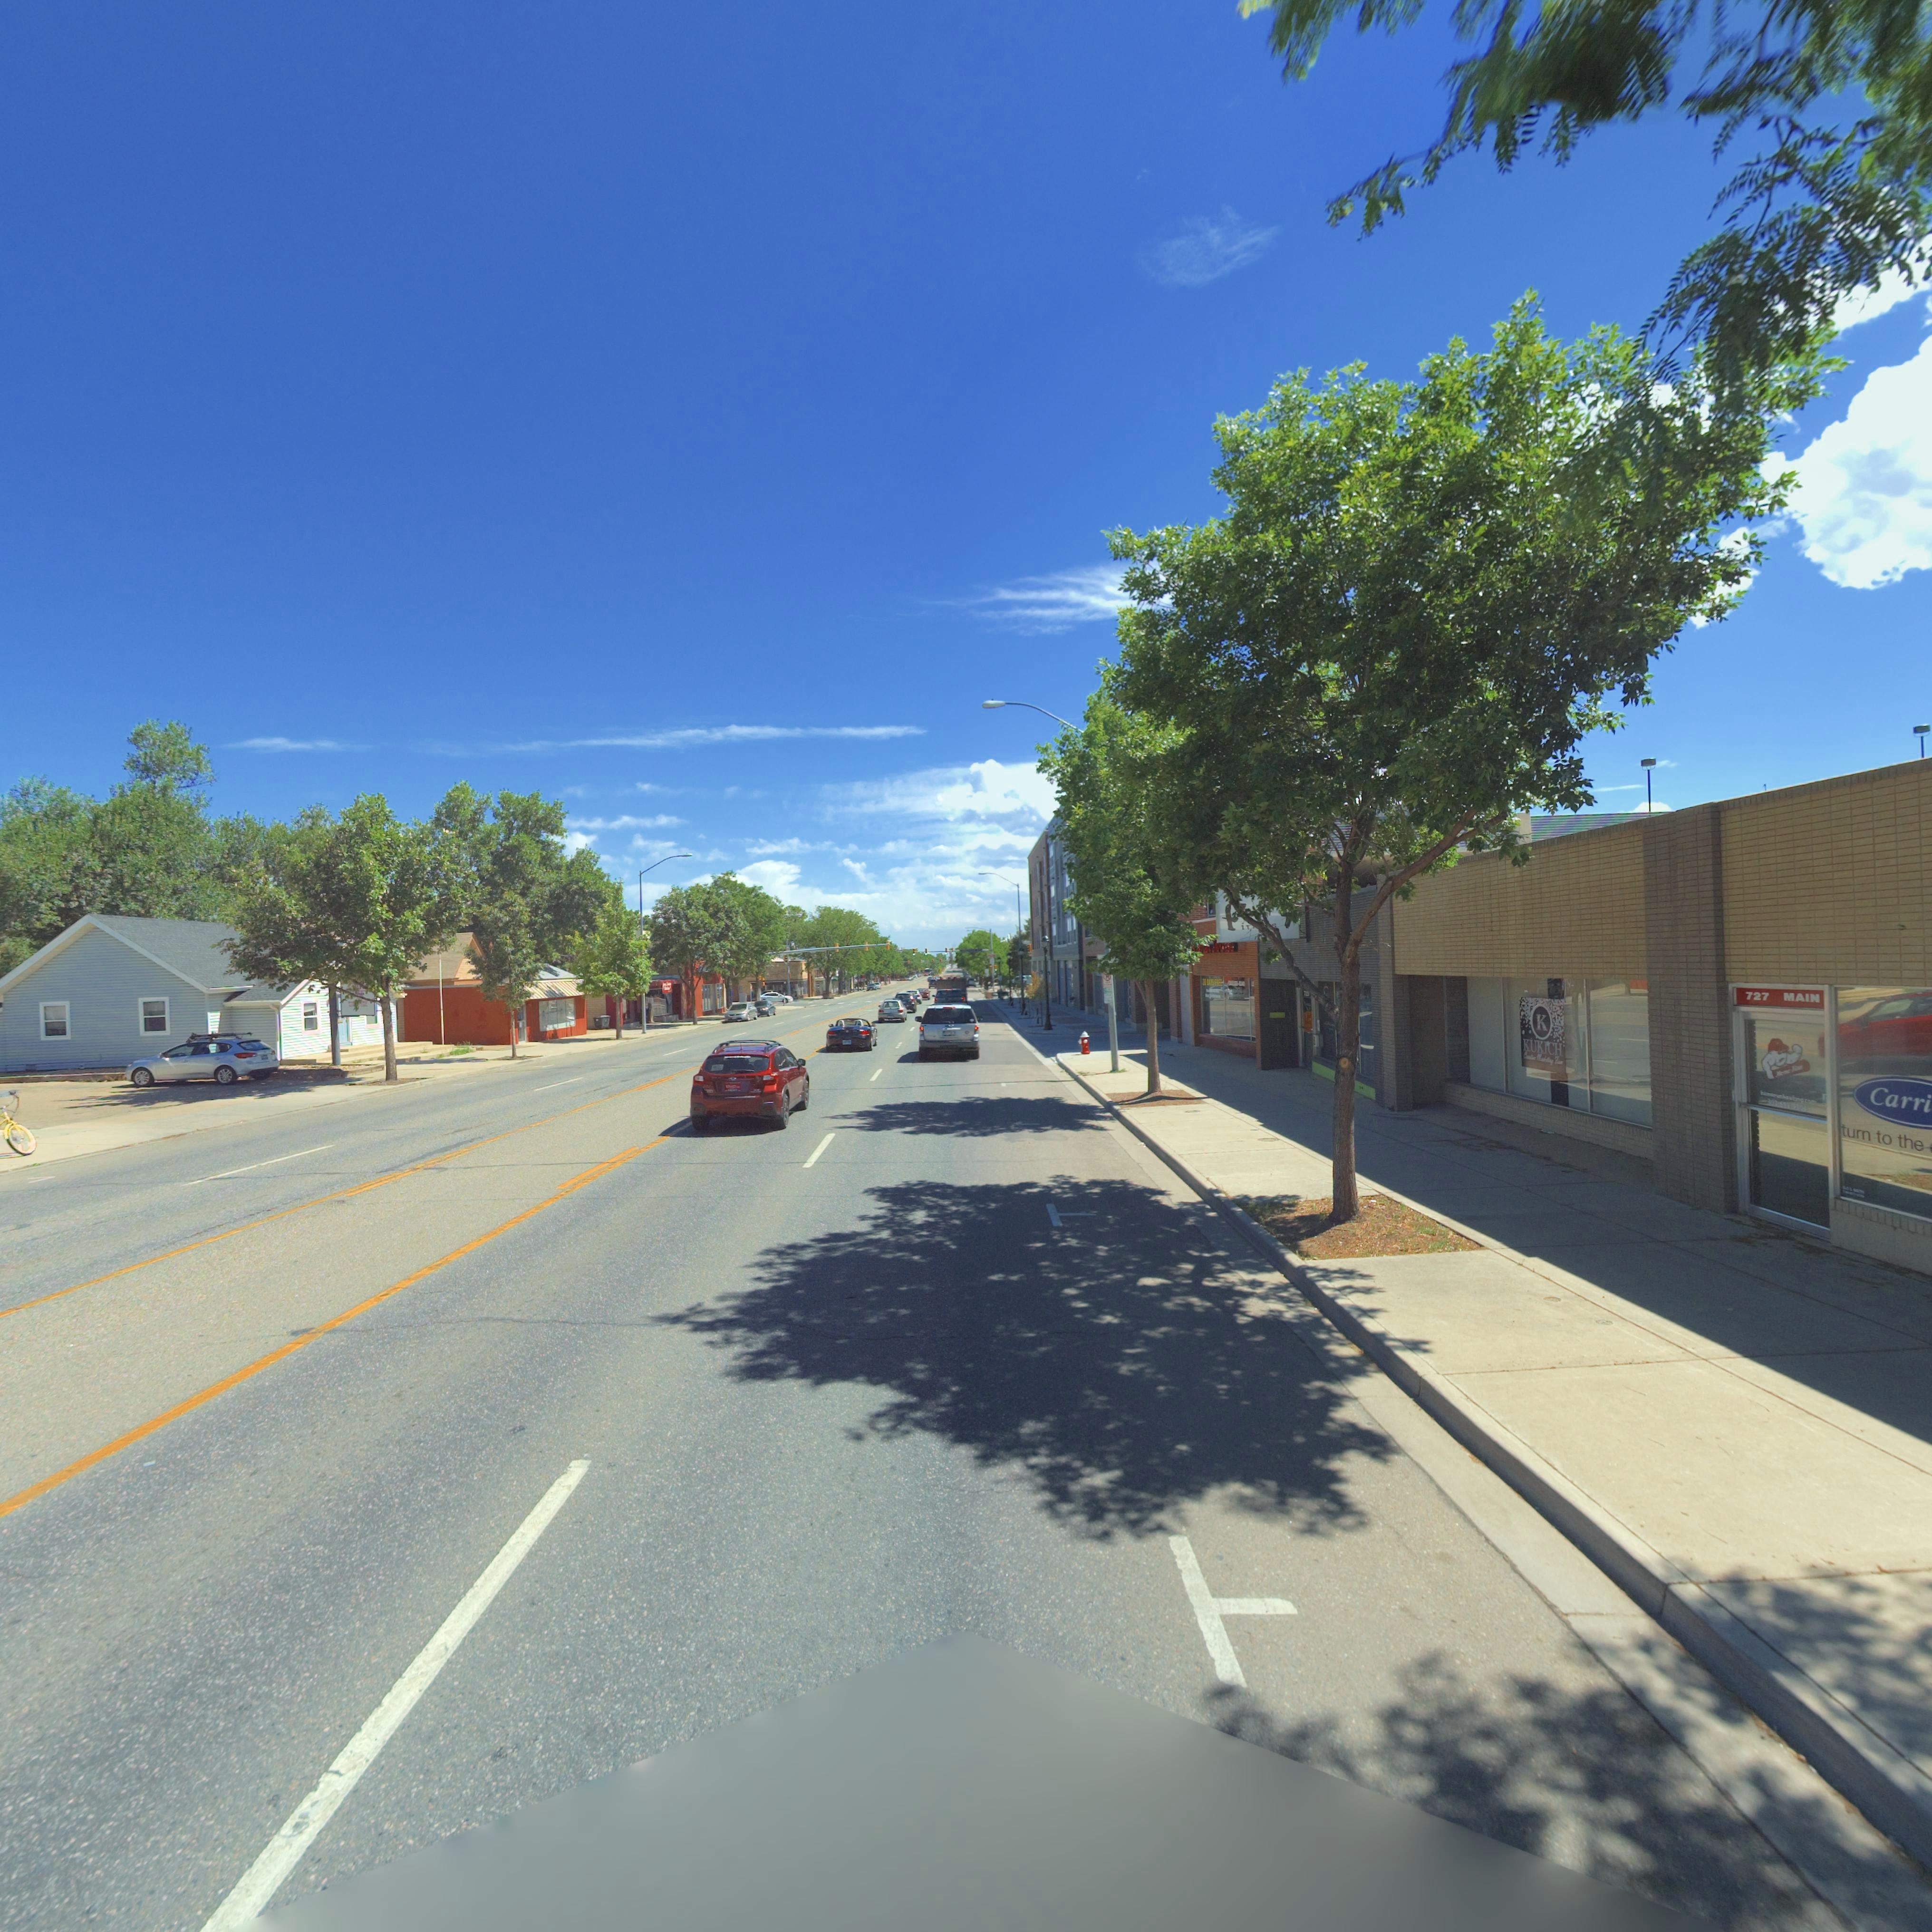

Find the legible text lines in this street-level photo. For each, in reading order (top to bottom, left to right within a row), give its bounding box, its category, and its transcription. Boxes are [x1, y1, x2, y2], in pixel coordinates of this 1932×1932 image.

[1221, 902, 1246, 931] BusinessName: f
[1241, 922, 1276, 930] BusinessName: iT***s
[1190, 942, 1234, 954] BusinessName: ********* JIU*J**SU
[1303, 990, 1309, 996] StreetNumber: 723
[1745, 991, 1769, 1001] StreetNumber: 727
[1783, 992, 1820, 1003] StreetName: MAIN
[1522, 1038, 1563, 1057] BusinessName: KUKICH